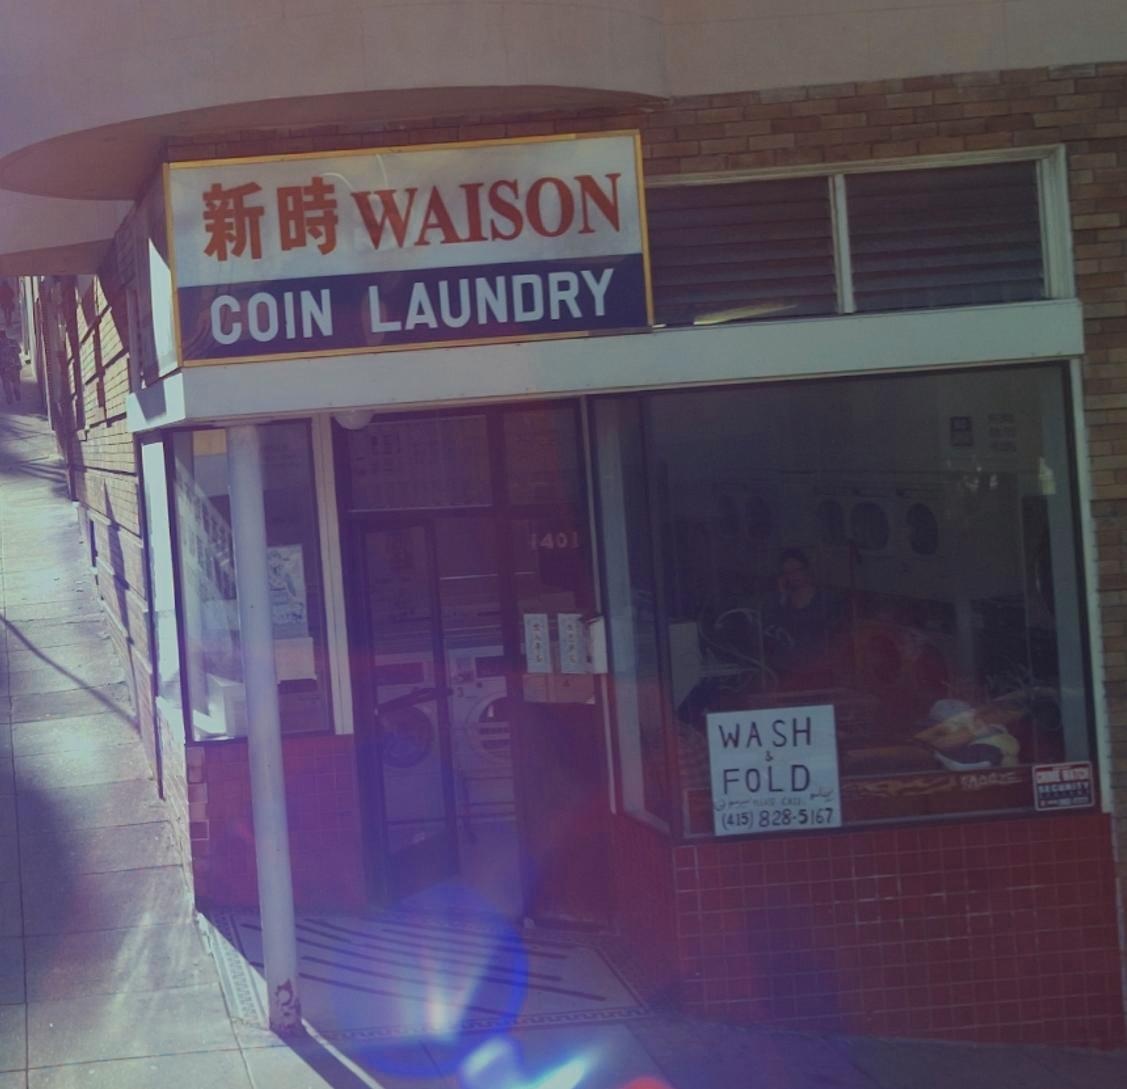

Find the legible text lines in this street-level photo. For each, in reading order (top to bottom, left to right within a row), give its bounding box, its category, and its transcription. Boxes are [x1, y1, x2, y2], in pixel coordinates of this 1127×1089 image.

[348, 169, 625, 255] BusinessName: WAISON
[207, 266, 620, 349] None: COIN LAUNDRY
[529, 528, 583, 553] StreetNumber: 1401
[716, 714, 815, 752] None: WASH
[721, 763, 813, 798] None: FOLD
[1034, 767, 1090, 785] None: CRIME WATCH
[1035, 781, 1090, 794] None: SECURITY
[721, 806, 837, 834] None: (415)828-5167